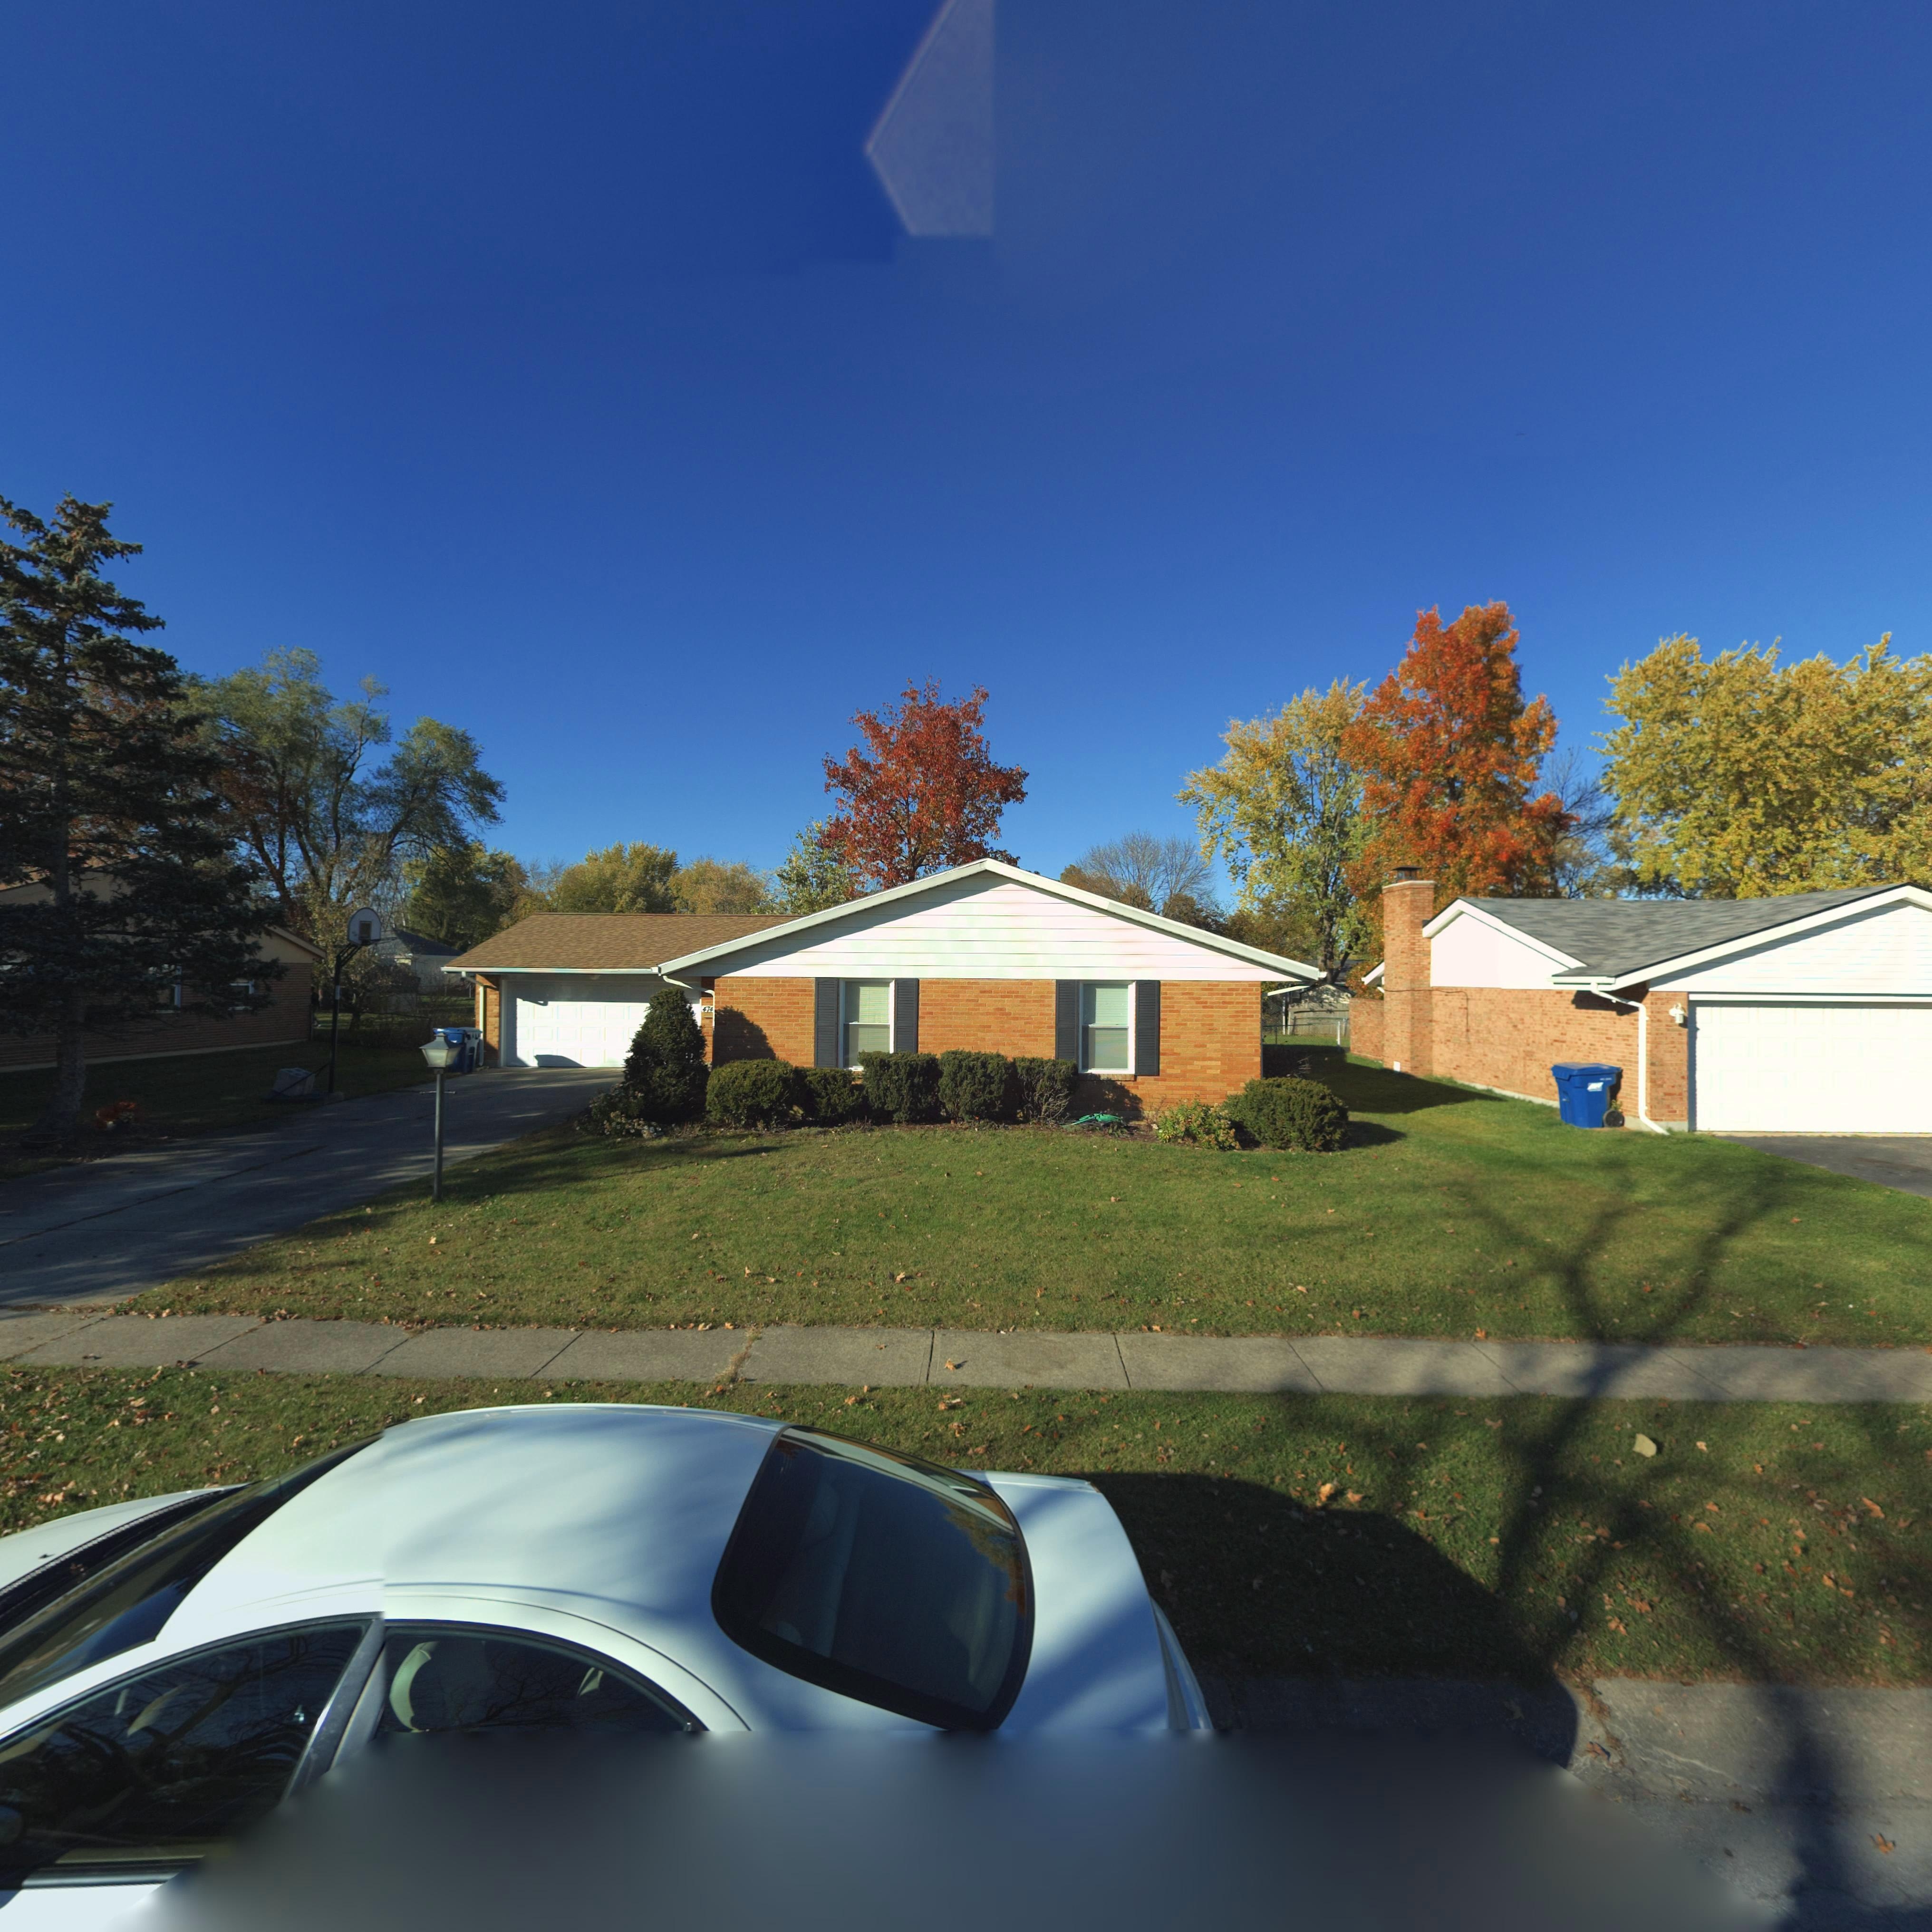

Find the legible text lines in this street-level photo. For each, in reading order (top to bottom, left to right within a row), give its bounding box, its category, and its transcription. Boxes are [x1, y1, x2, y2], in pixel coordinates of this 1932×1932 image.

[701, 1005, 714, 1013] StreetNumber: 474